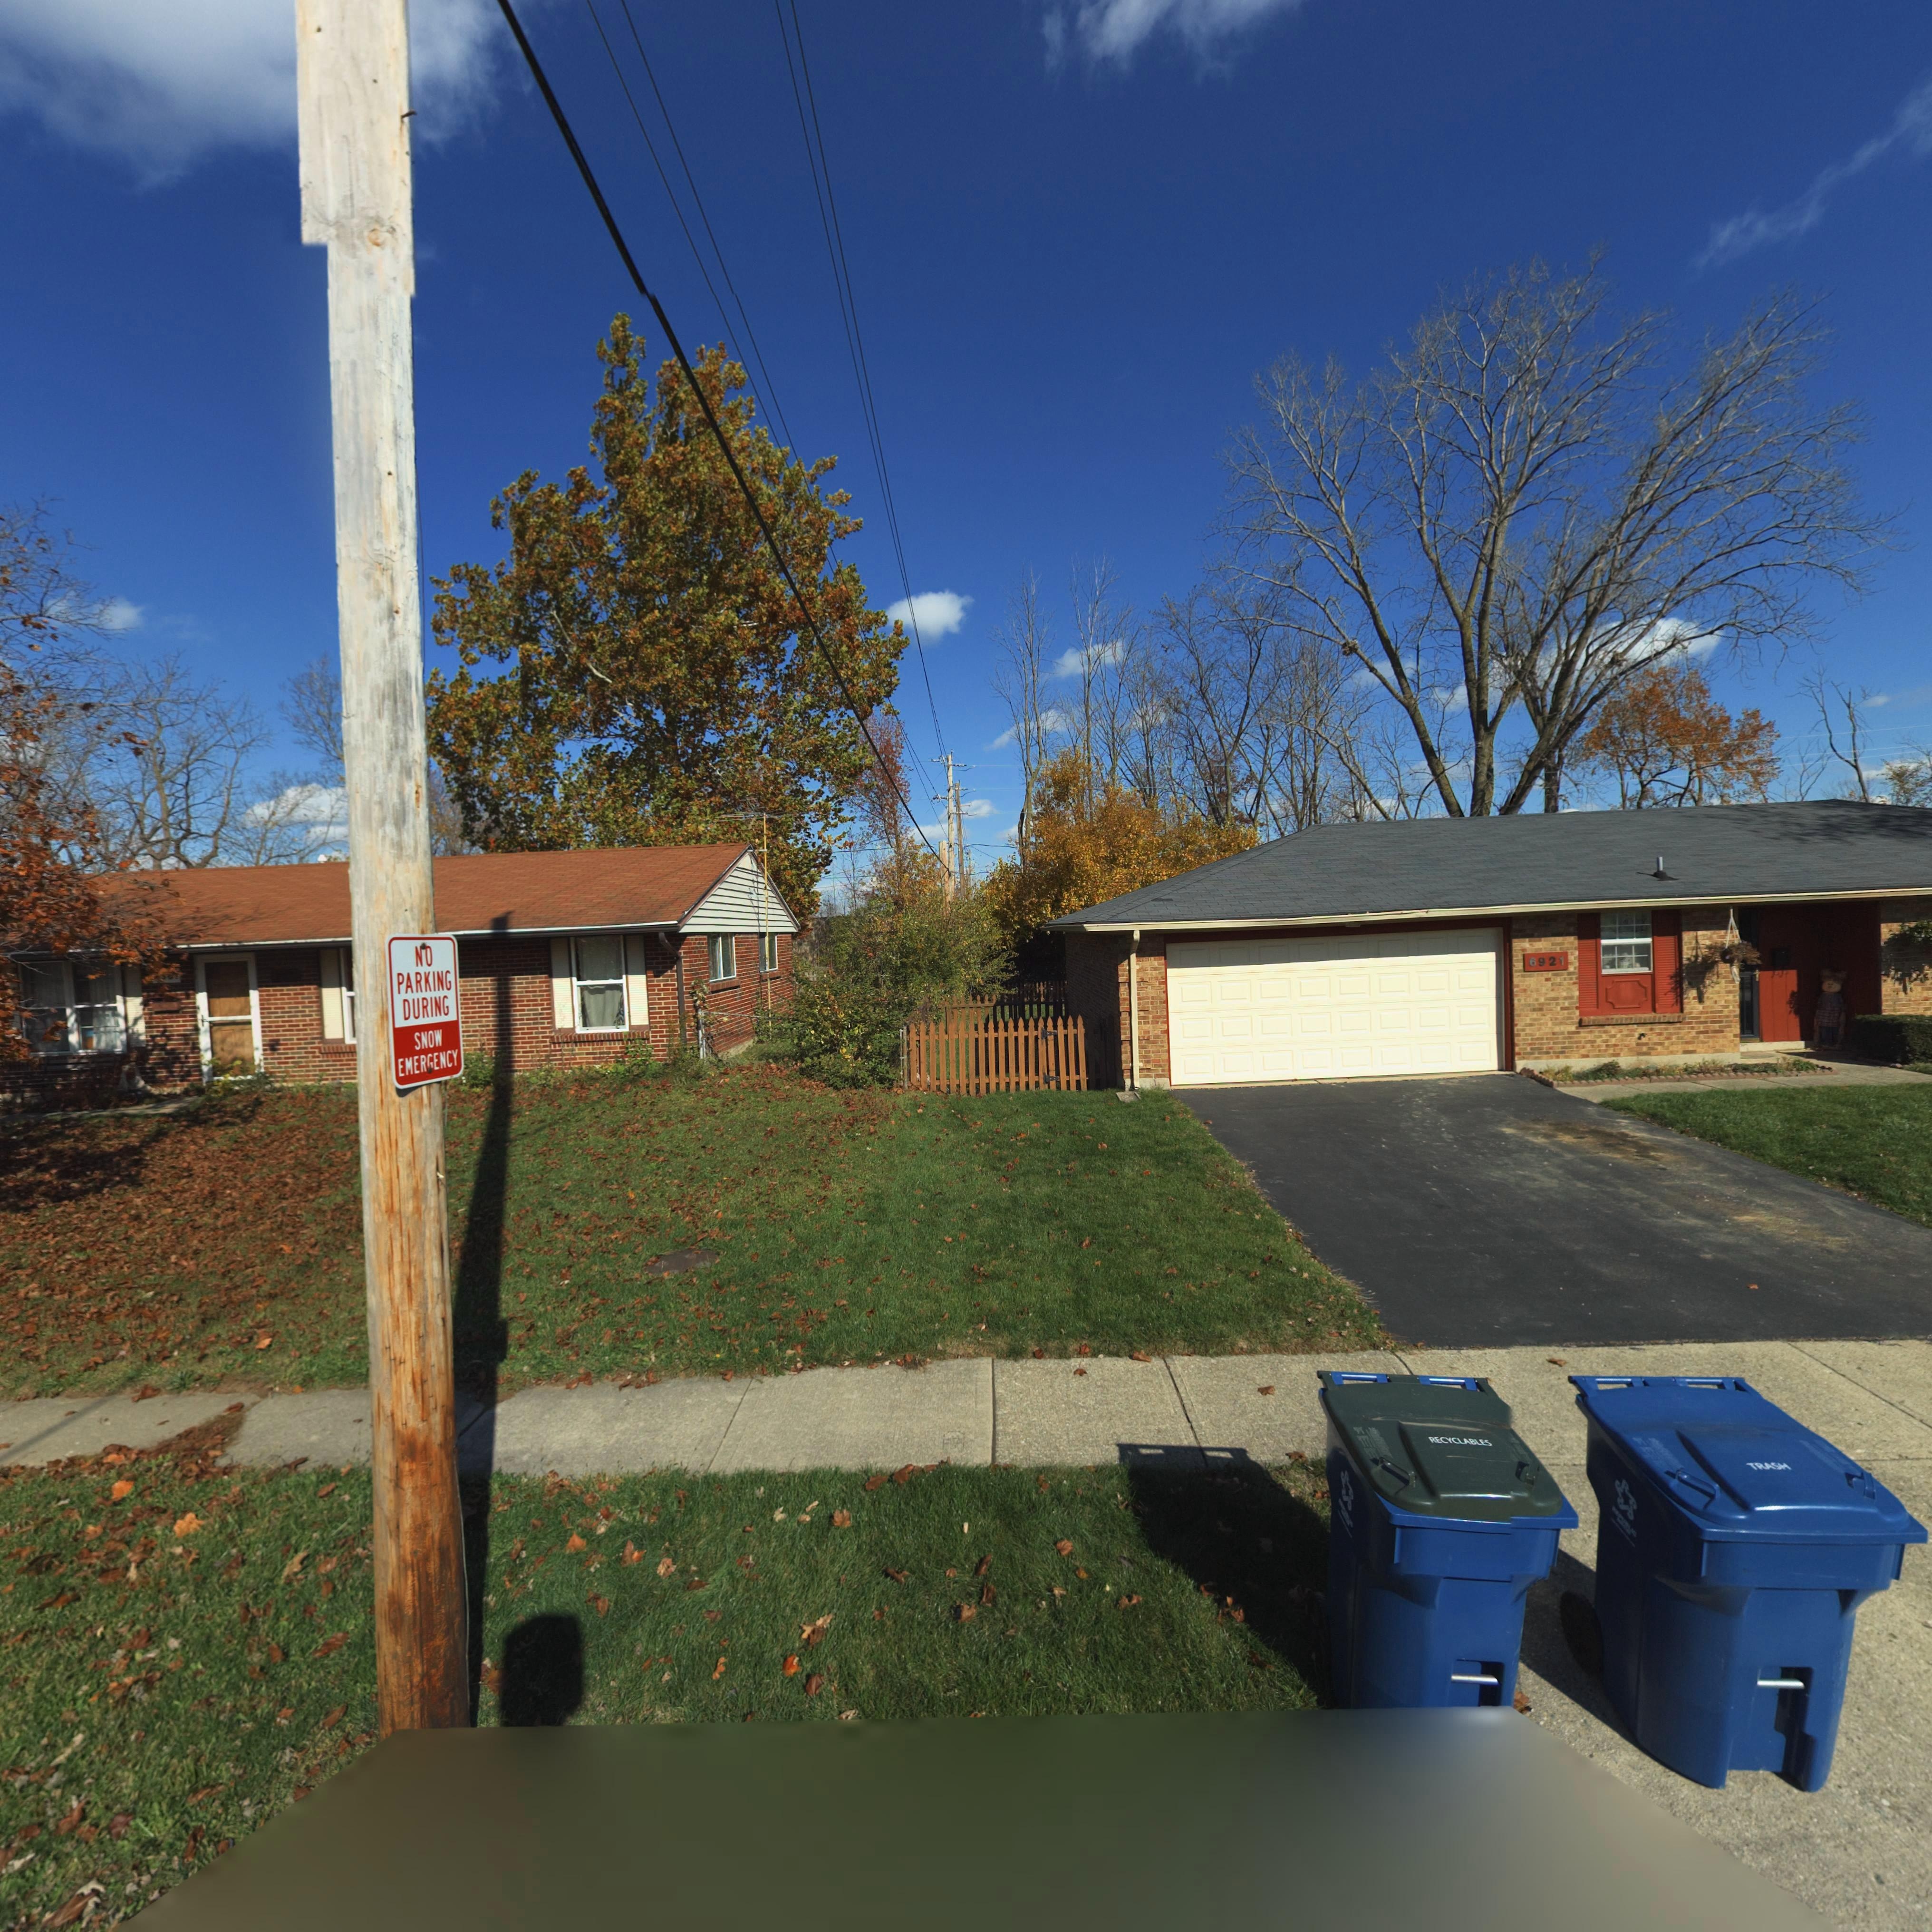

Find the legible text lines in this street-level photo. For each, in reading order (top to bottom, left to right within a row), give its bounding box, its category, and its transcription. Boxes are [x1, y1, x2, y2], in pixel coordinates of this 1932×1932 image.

[1528, 954, 1565, 968] StreetNumber: 6921